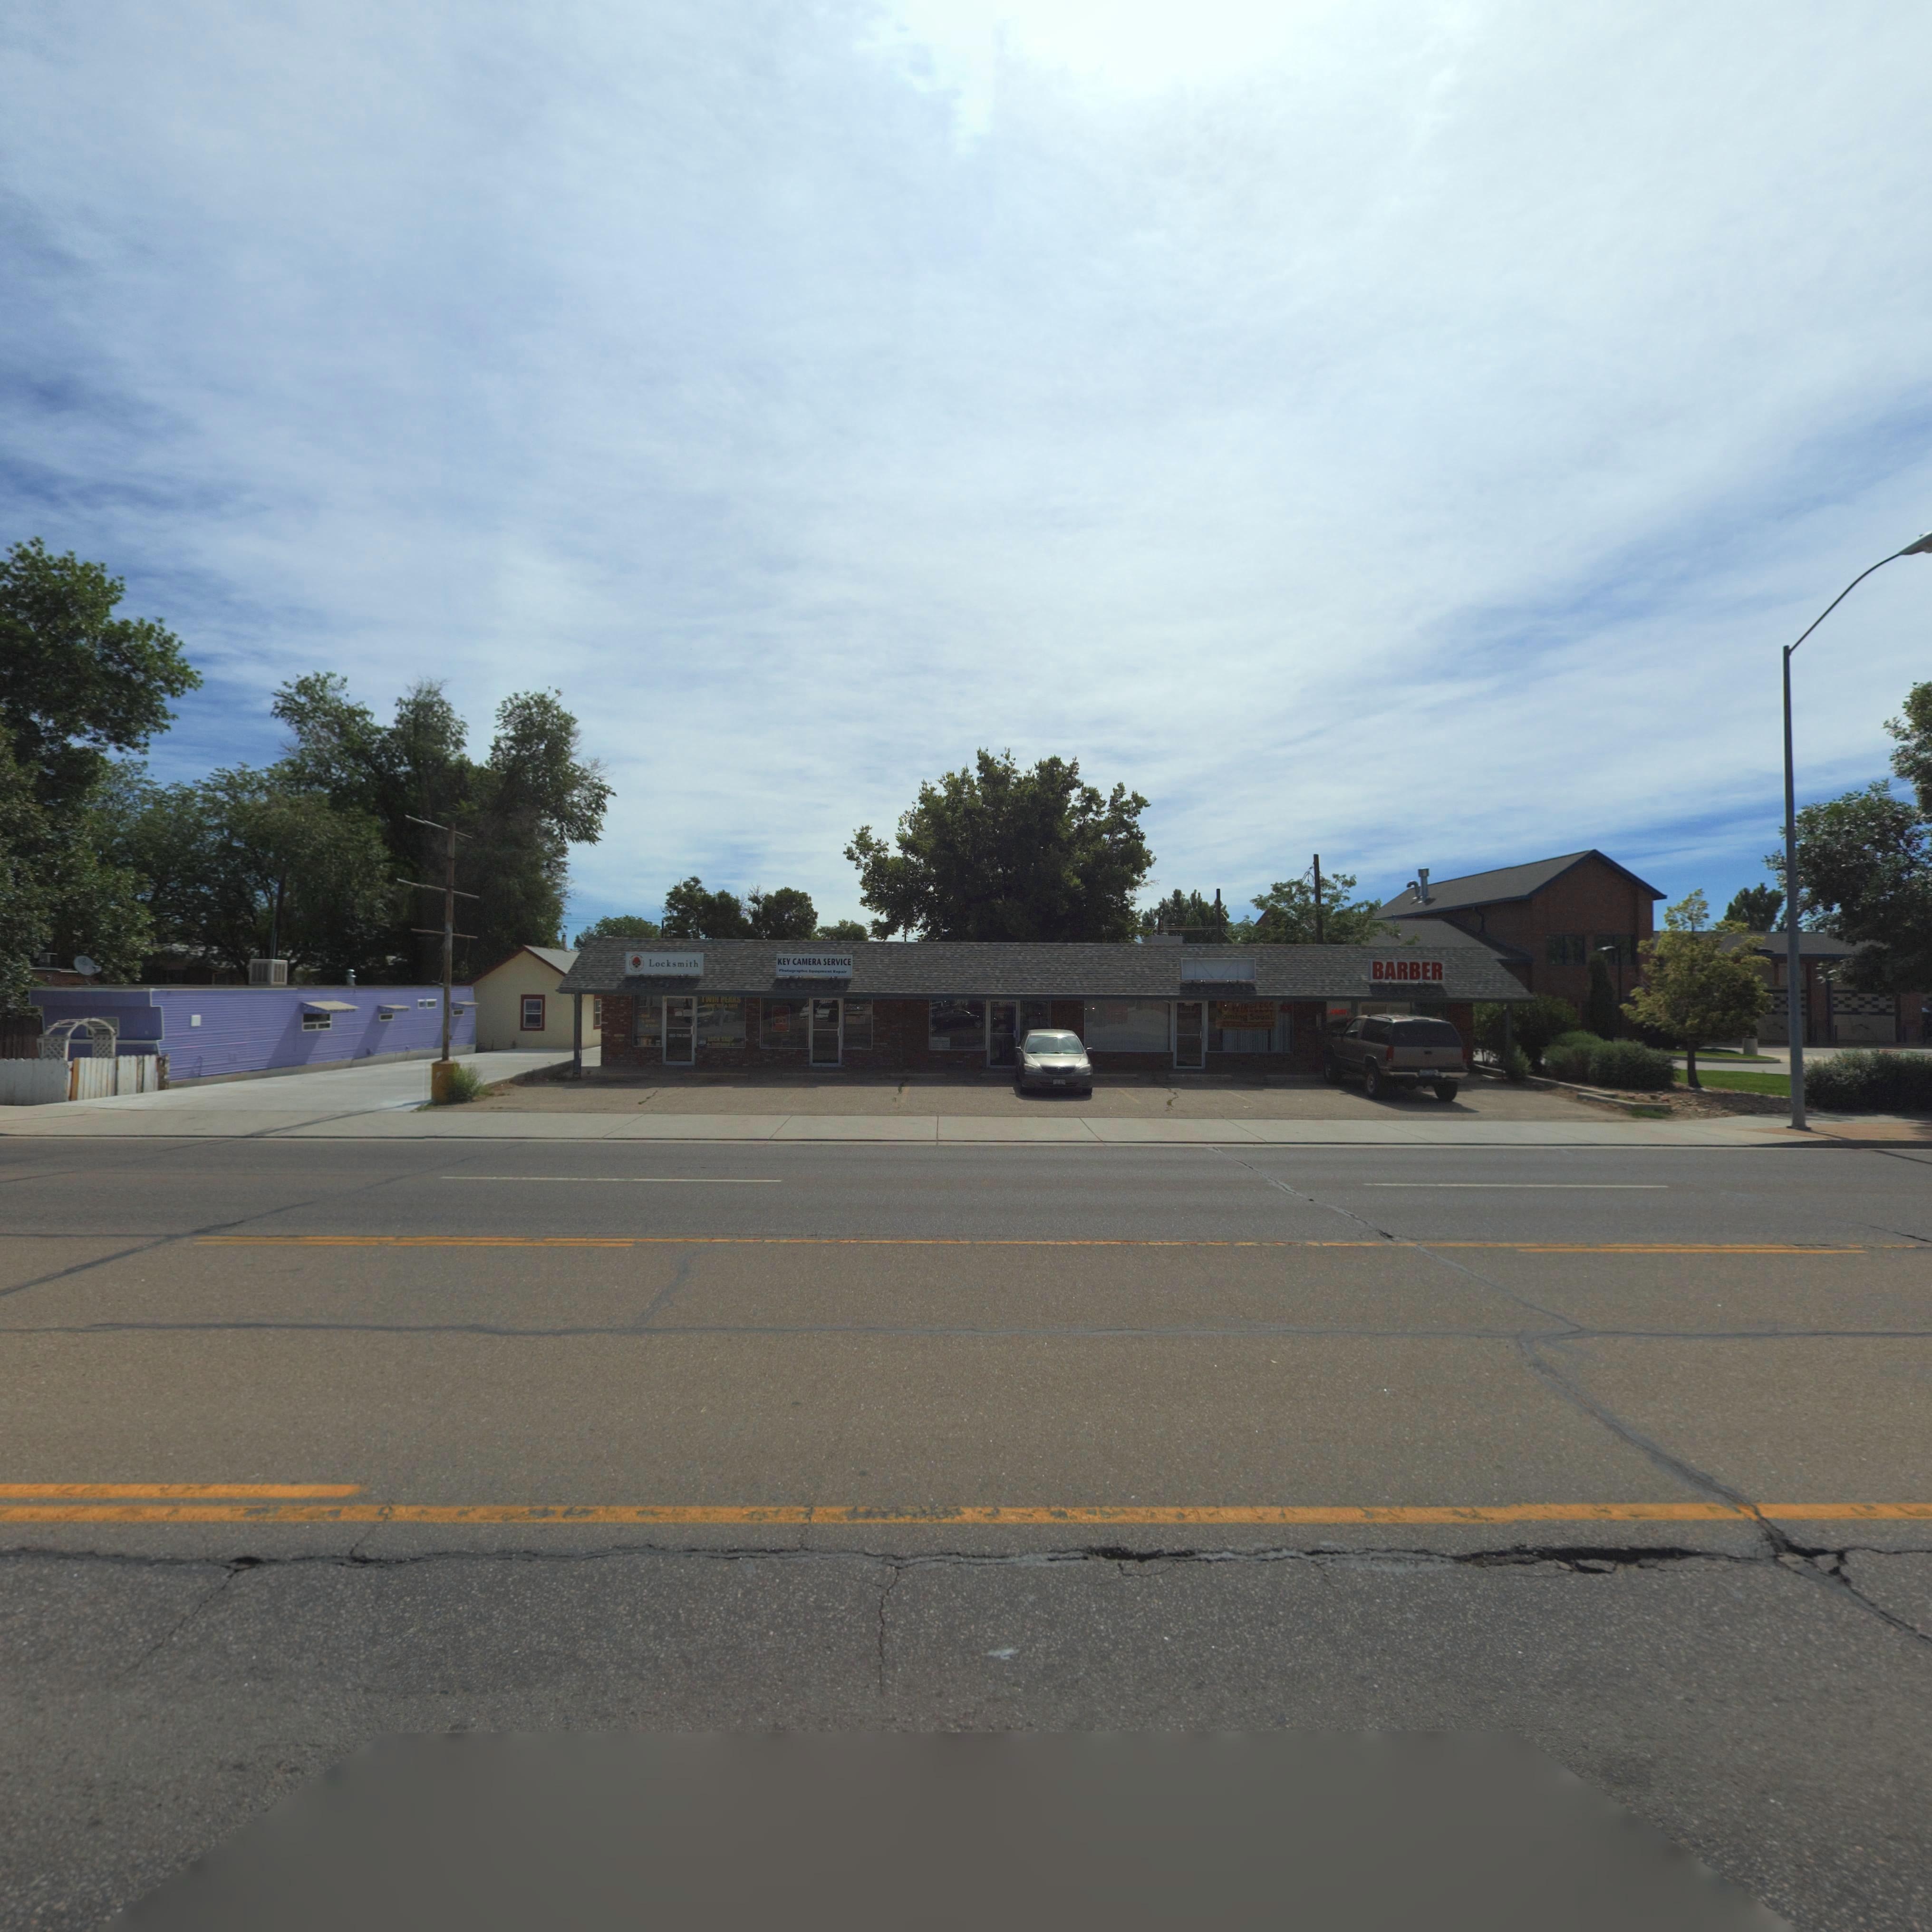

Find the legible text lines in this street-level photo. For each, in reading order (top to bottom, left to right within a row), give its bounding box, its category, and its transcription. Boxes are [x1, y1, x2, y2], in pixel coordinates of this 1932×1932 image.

[819, 999, 831, 1003] StreetNumber: 14**
[998, 1002, 1008, 1005] StreetNumber: 14***